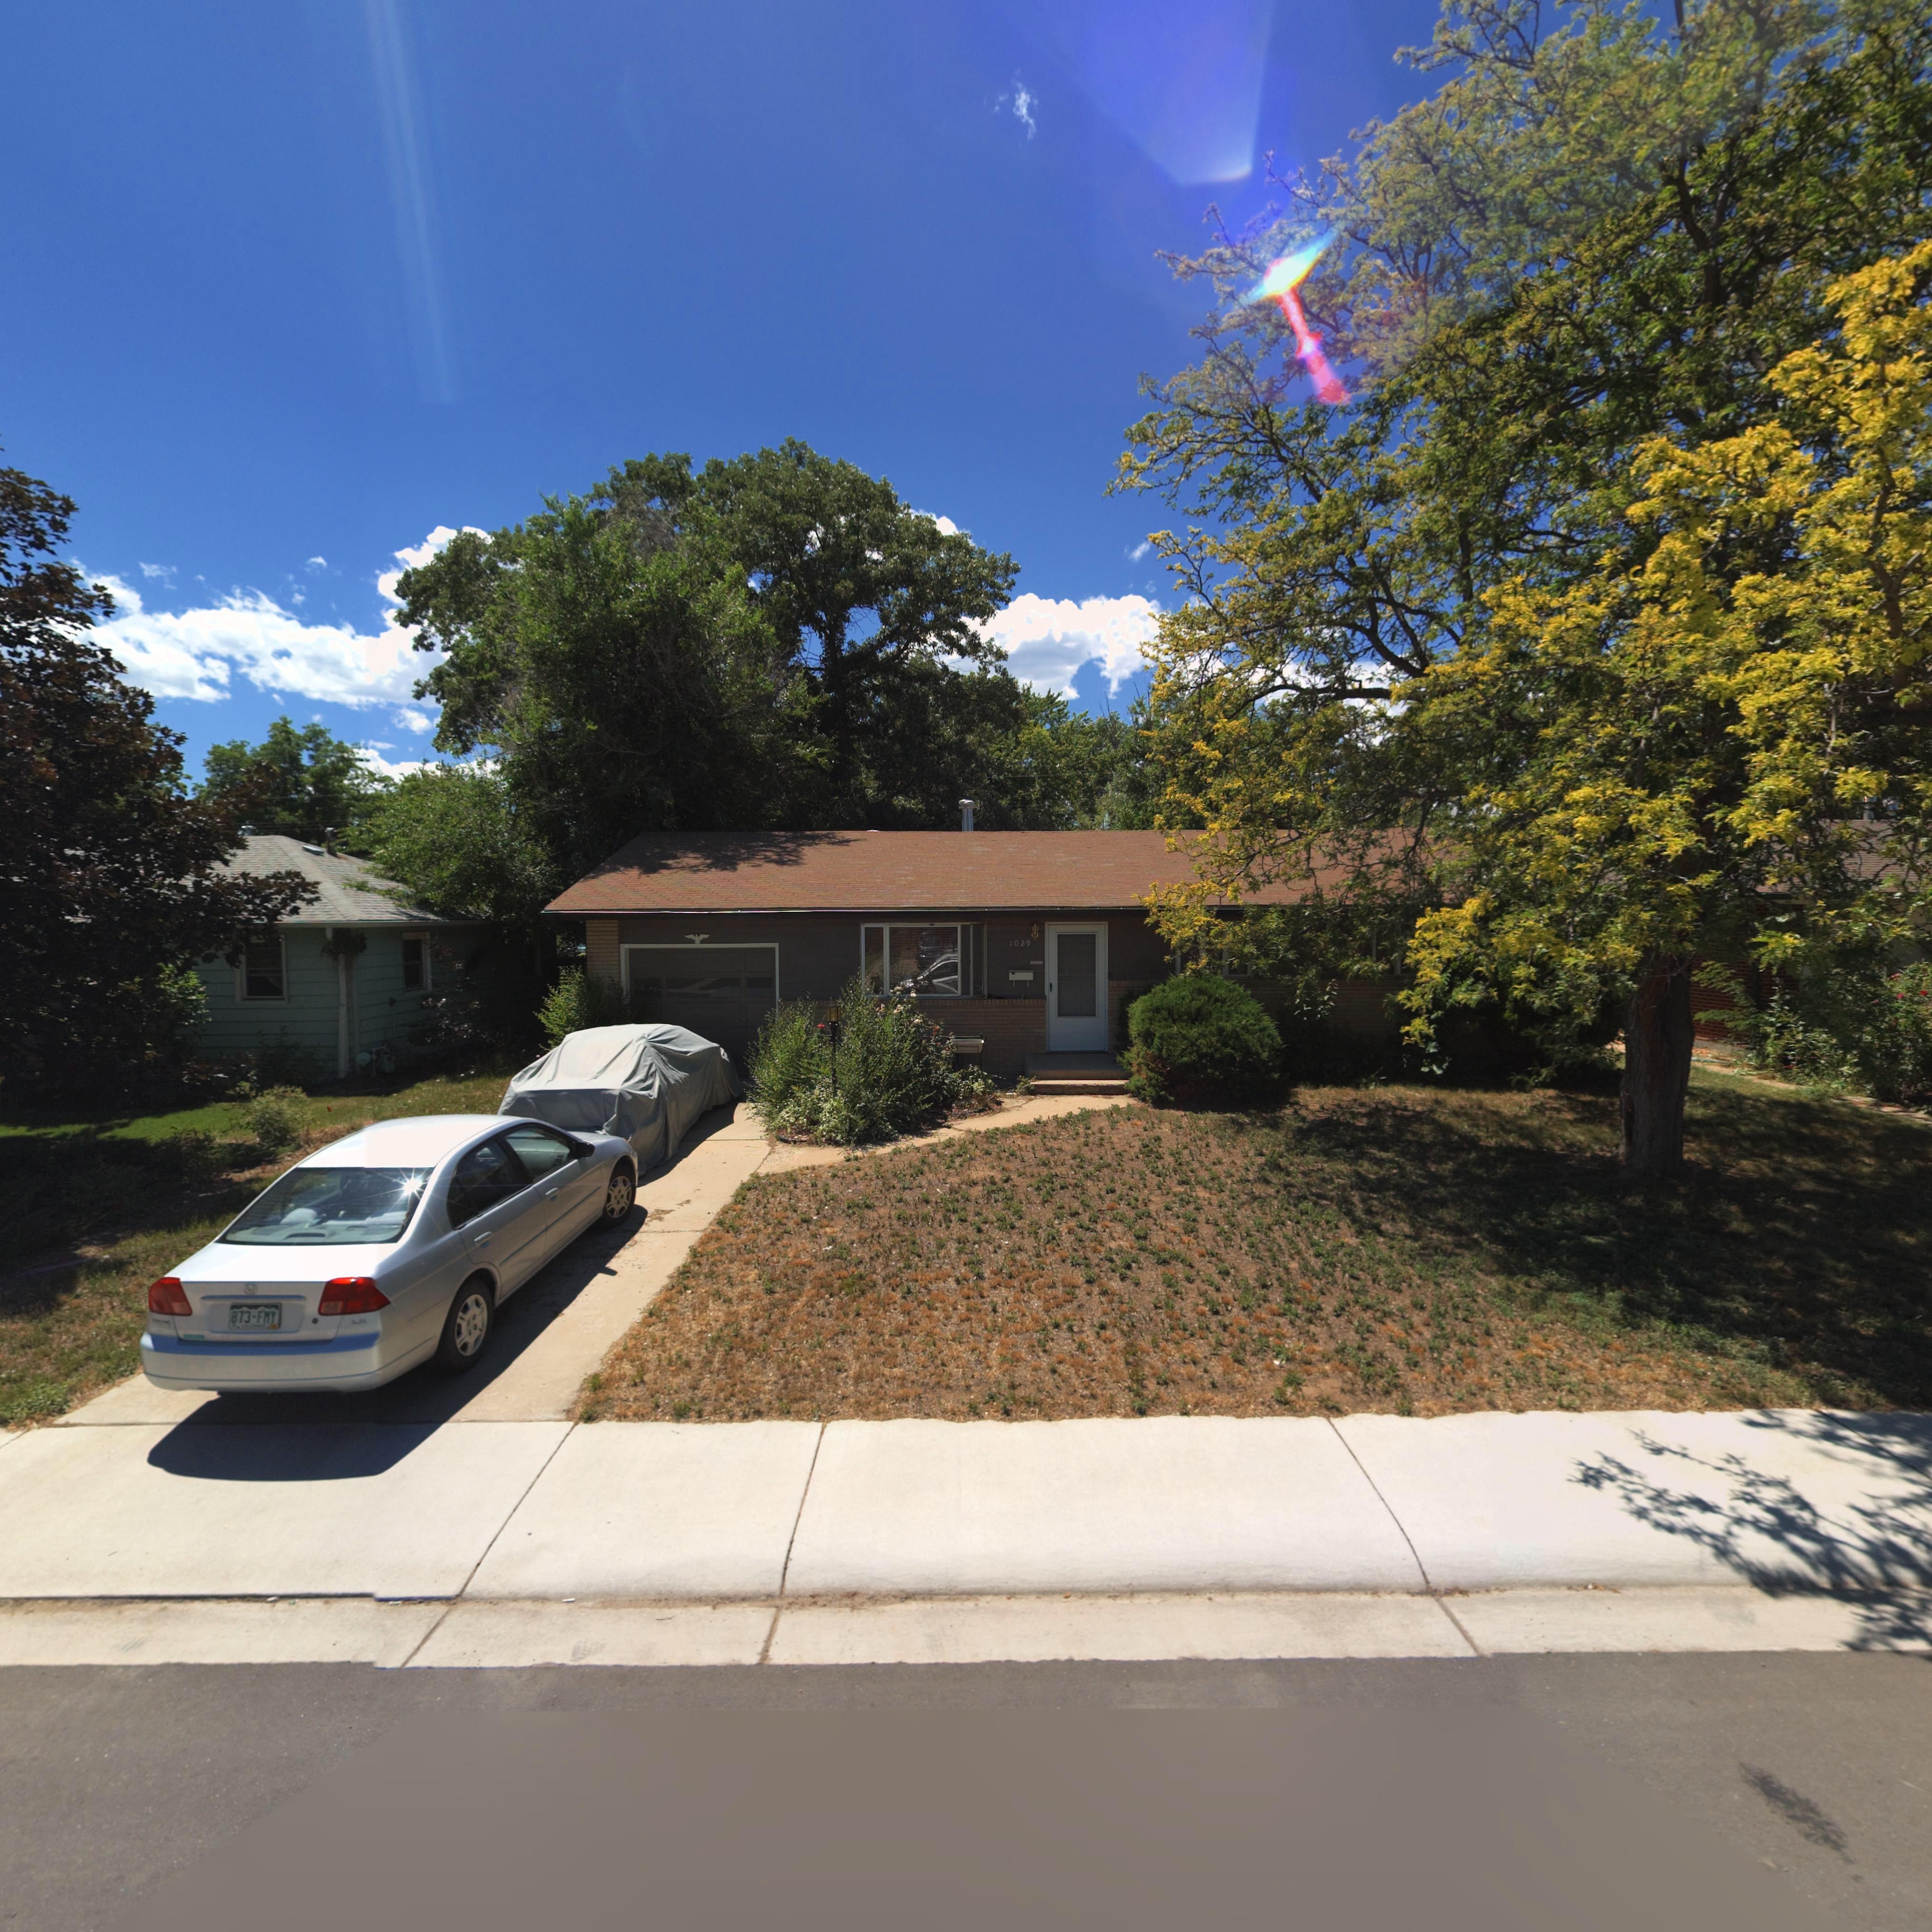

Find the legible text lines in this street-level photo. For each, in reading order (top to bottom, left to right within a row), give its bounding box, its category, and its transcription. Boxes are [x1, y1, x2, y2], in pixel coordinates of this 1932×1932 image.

[1009, 939, 1031, 947] StreetNumber: 1029